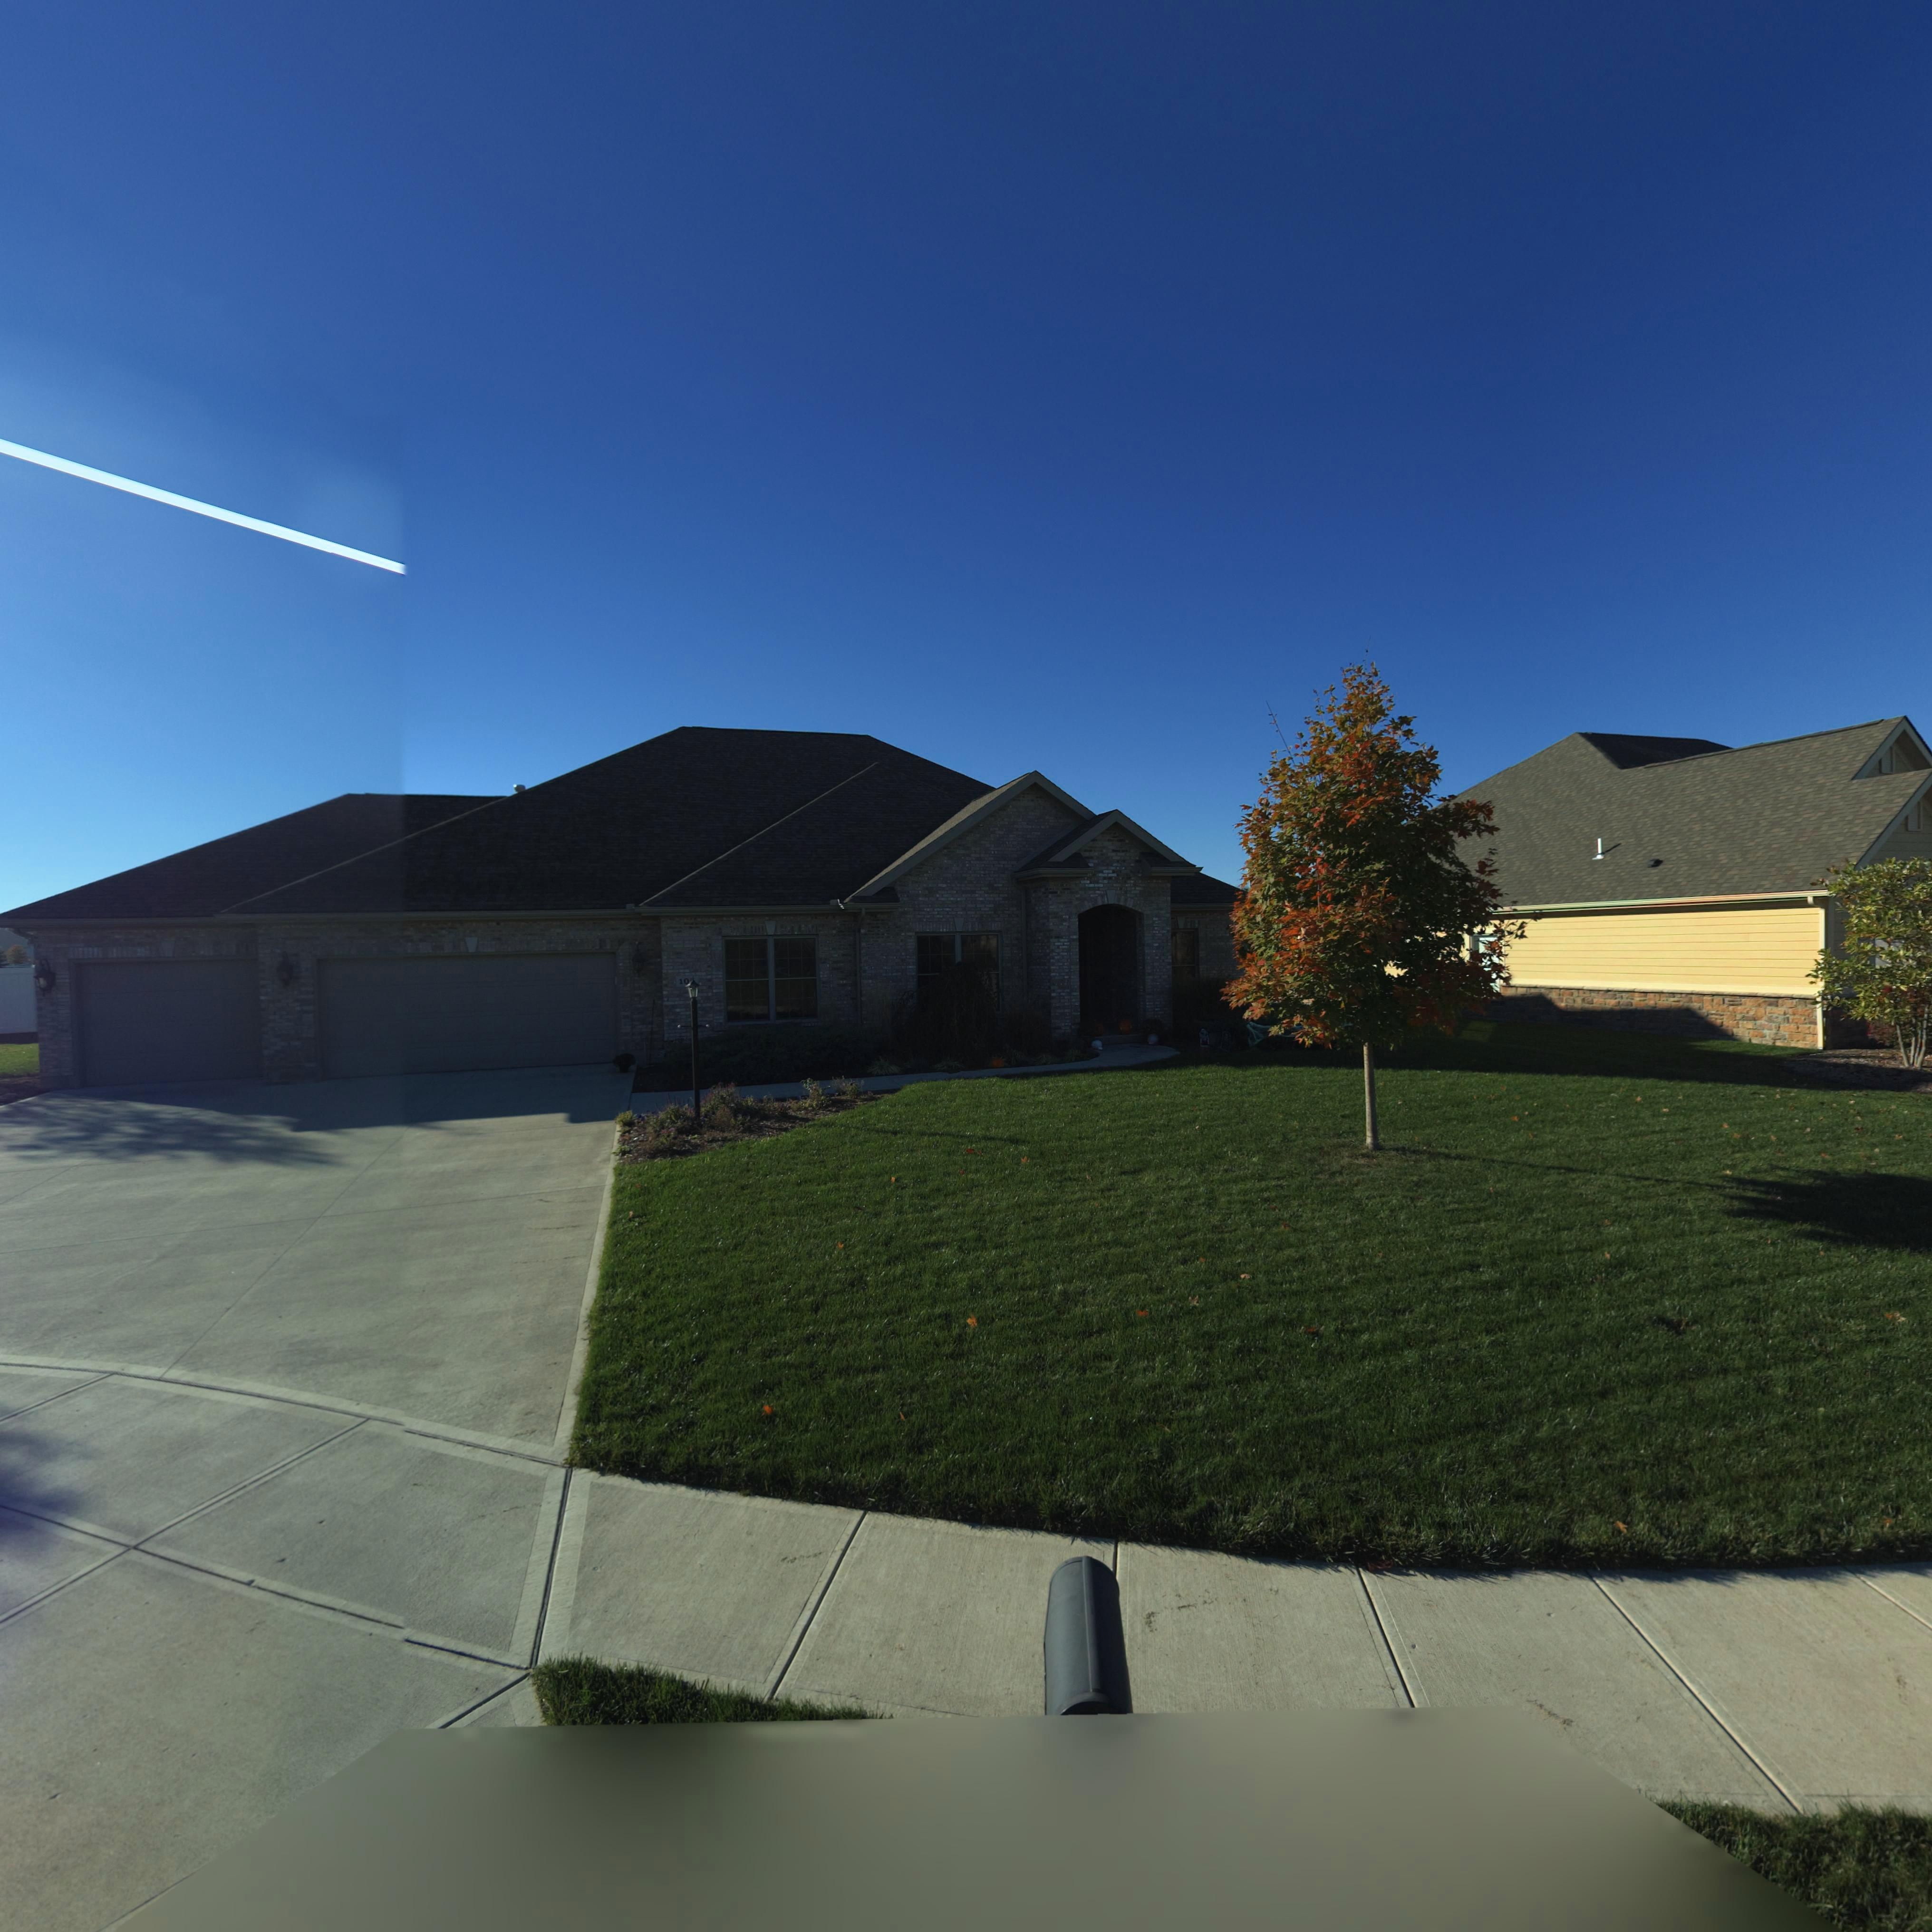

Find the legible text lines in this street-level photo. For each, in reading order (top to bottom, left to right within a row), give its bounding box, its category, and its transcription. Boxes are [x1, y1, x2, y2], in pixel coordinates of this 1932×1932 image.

[678, 977, 690, 985] StreetNumber: 10